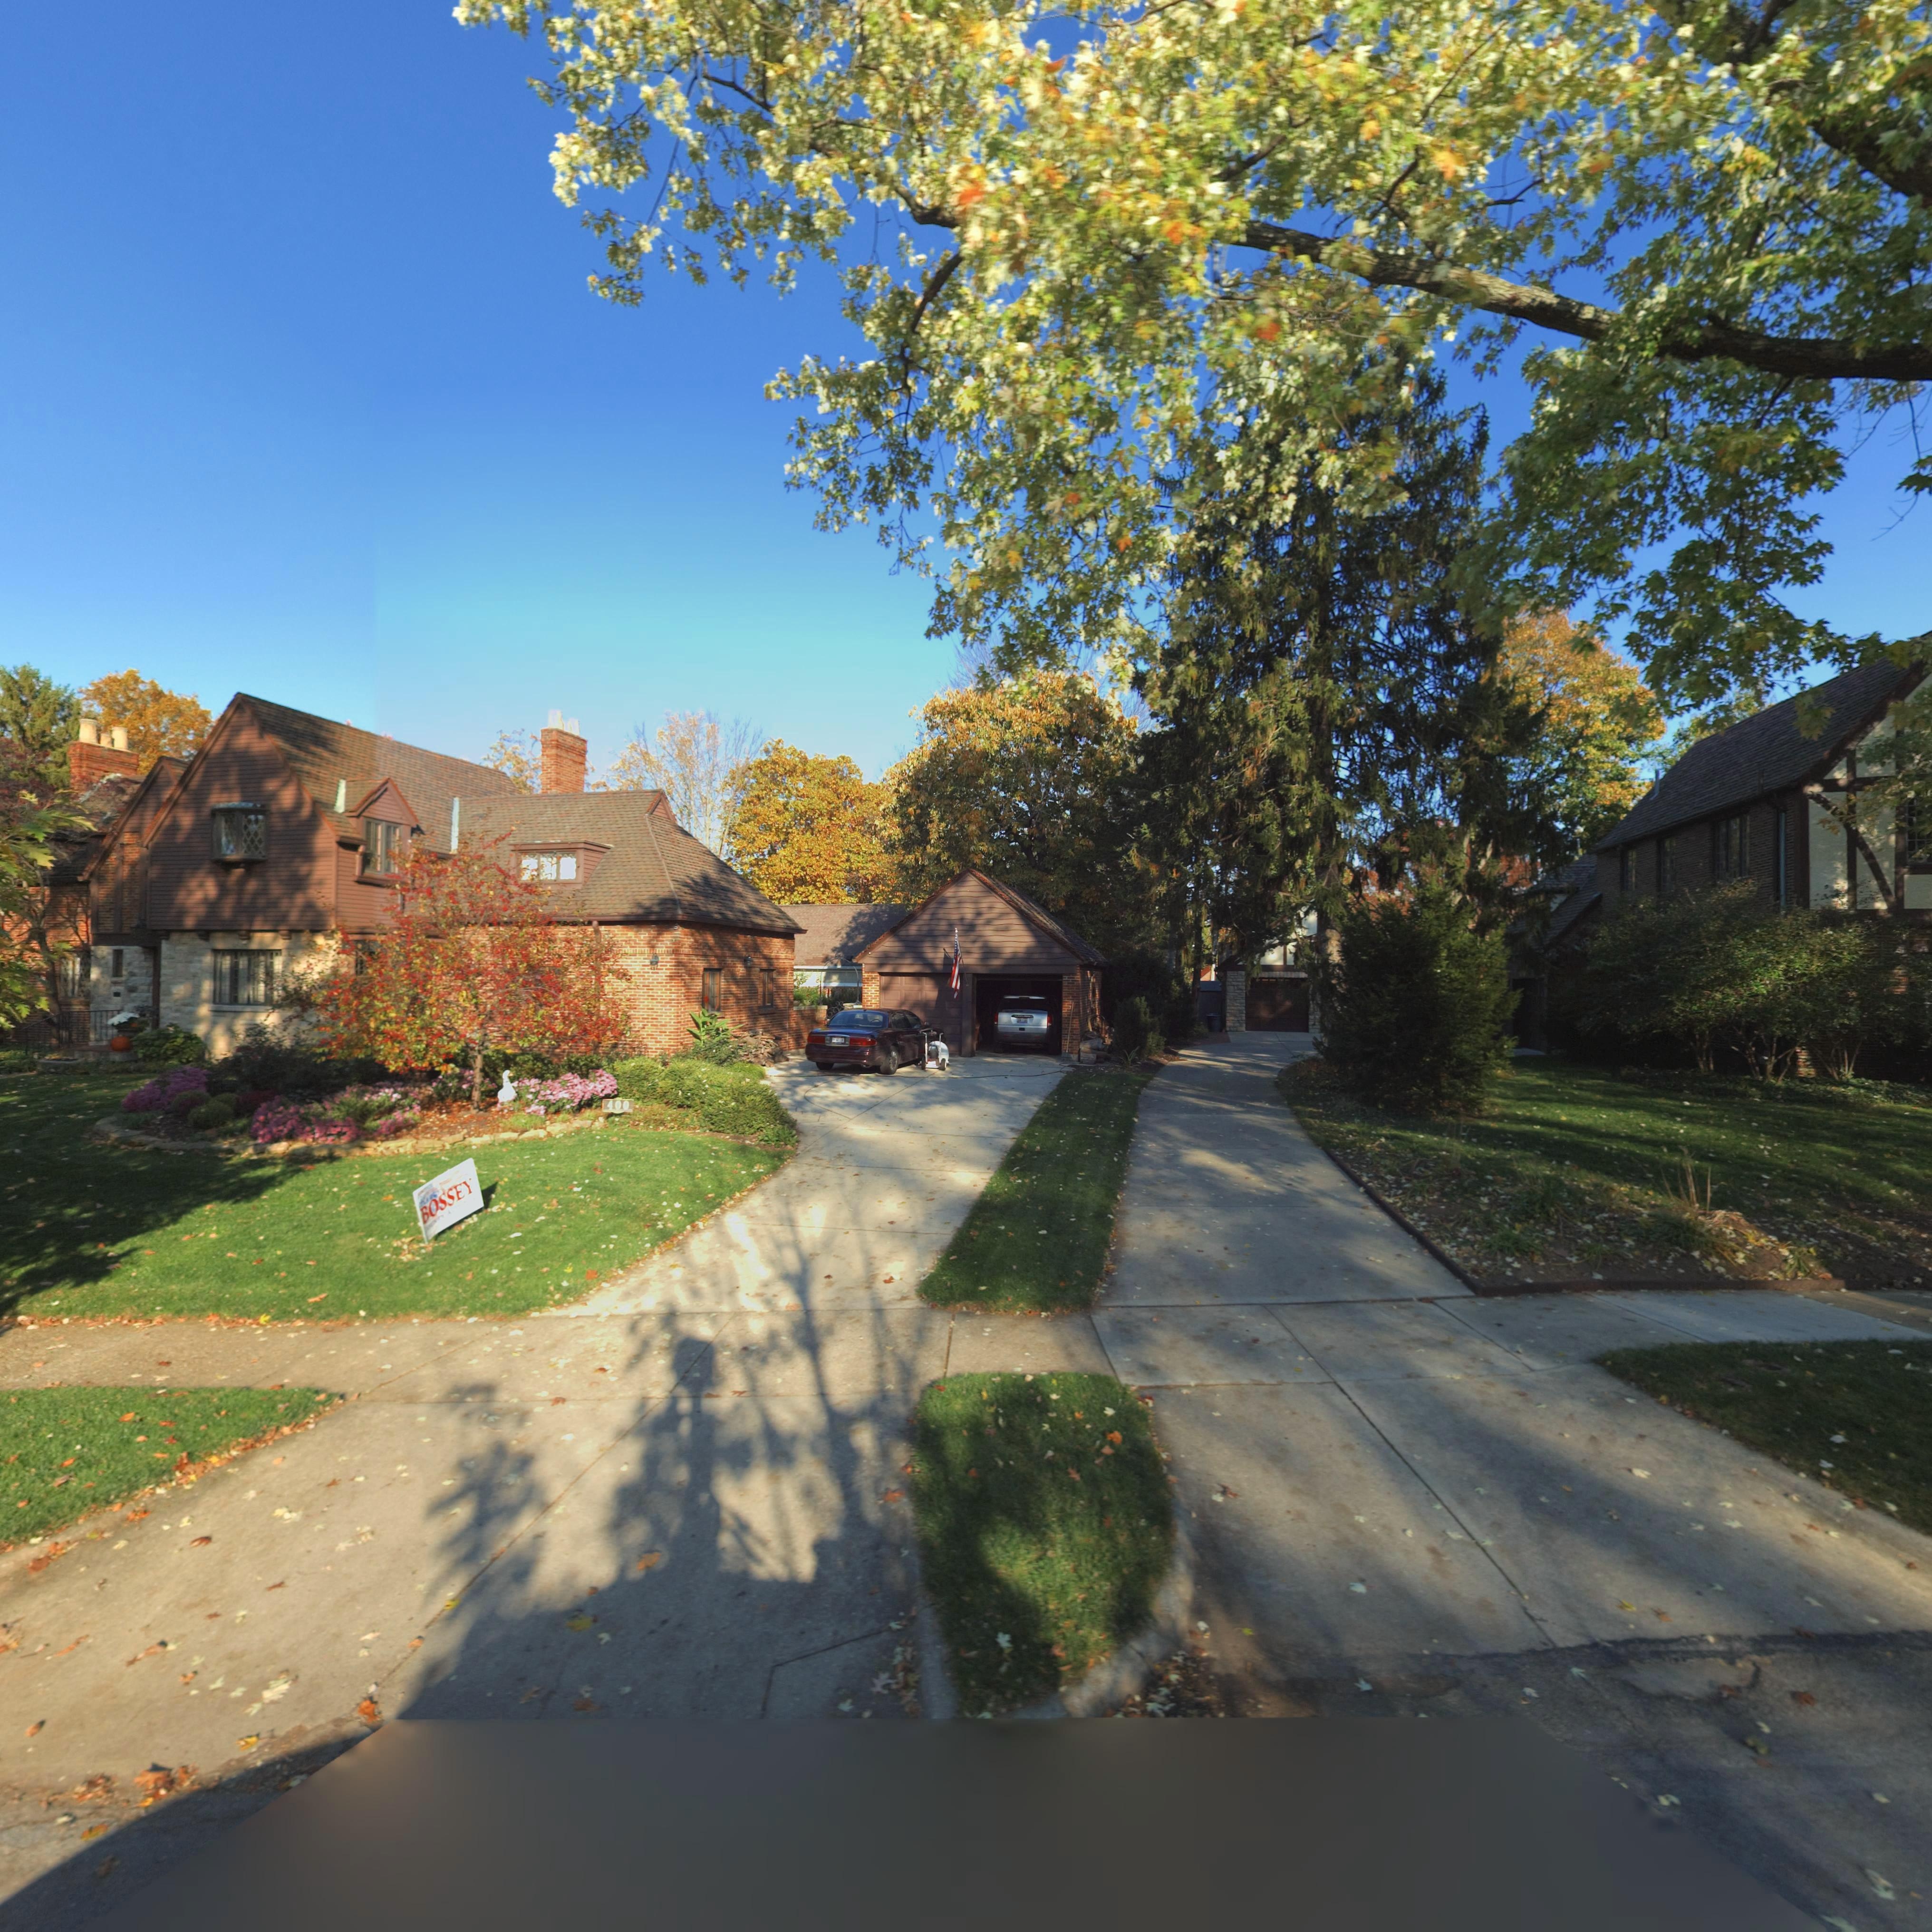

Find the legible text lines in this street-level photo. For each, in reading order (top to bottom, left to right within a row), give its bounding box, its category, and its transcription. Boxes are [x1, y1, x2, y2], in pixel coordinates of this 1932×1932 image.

[605, 1098, 631, 1112] StreetNumber: 400